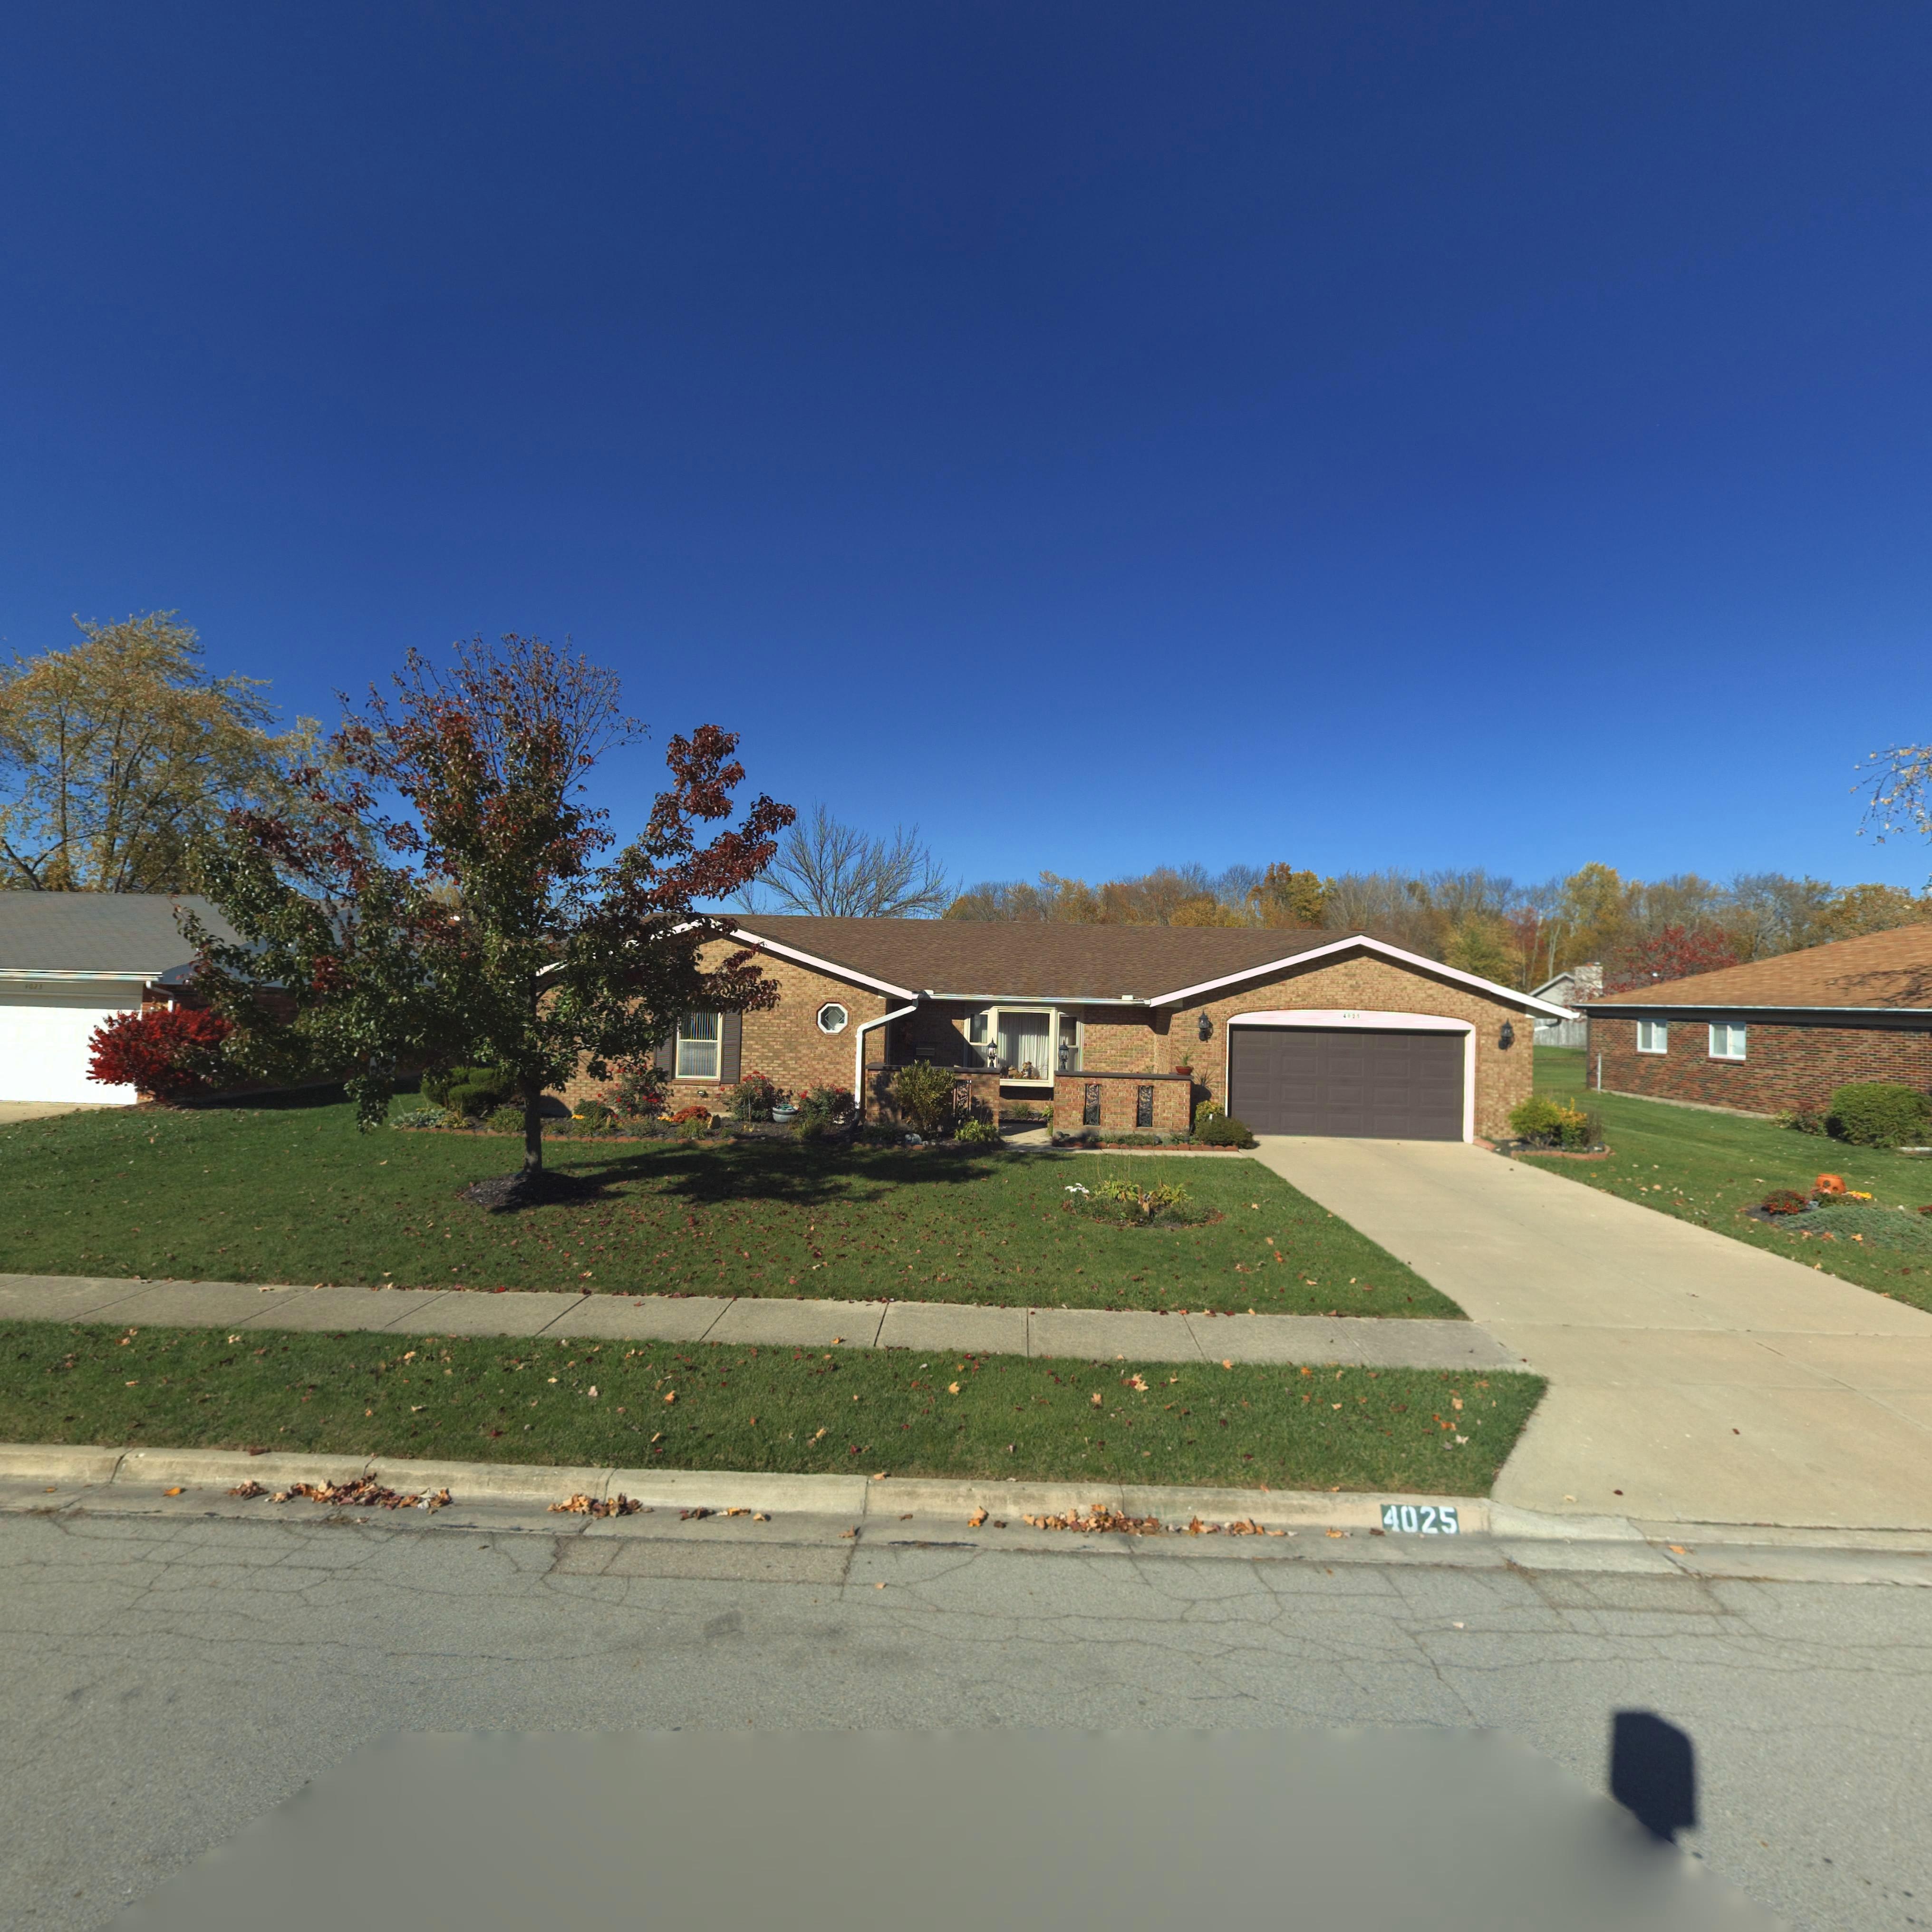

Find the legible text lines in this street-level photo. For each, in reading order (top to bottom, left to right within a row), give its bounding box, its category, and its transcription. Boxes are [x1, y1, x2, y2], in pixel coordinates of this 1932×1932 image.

[24, 983, 43, 990] StreetNumber: 4023
[1343, 1013, 1360, 1019] StreetNumber: 4025
[1382, 1505, 1458, 1535] StreetNumber: 4025